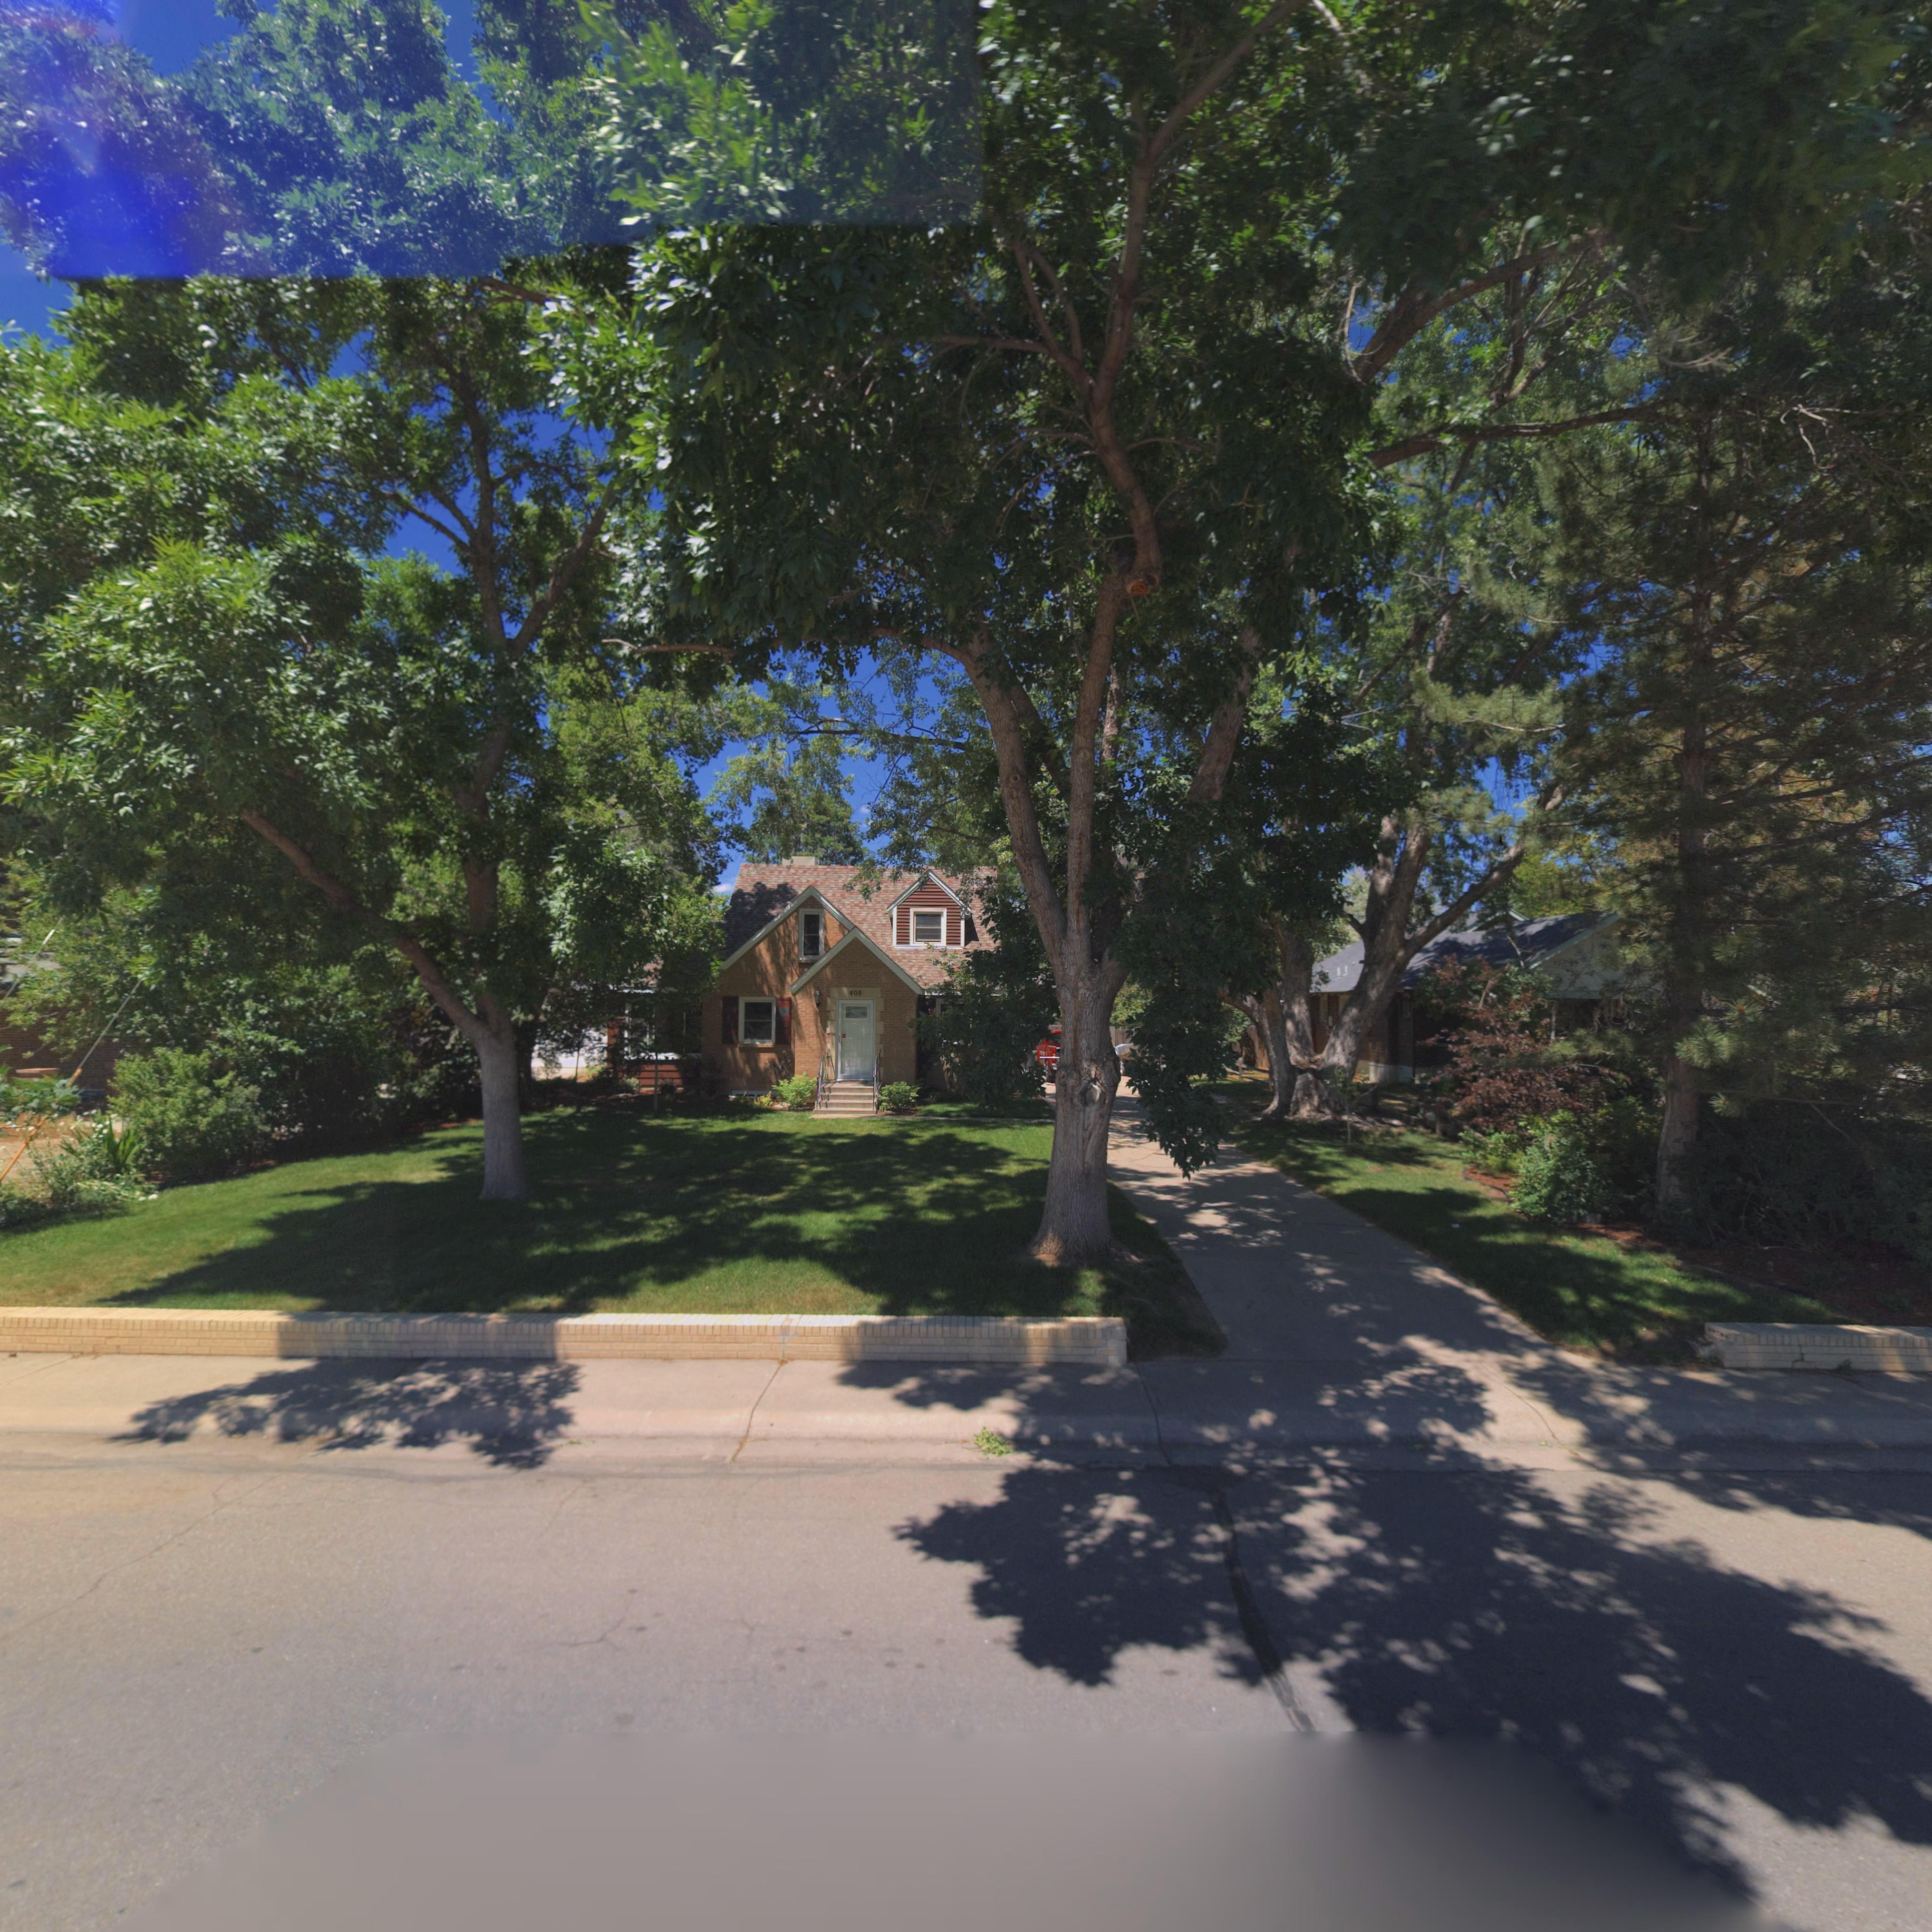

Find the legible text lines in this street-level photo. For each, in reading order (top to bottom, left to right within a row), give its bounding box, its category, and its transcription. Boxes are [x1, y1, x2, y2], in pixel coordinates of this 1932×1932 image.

[849, 989, 861, 995] StreetNumber: 408